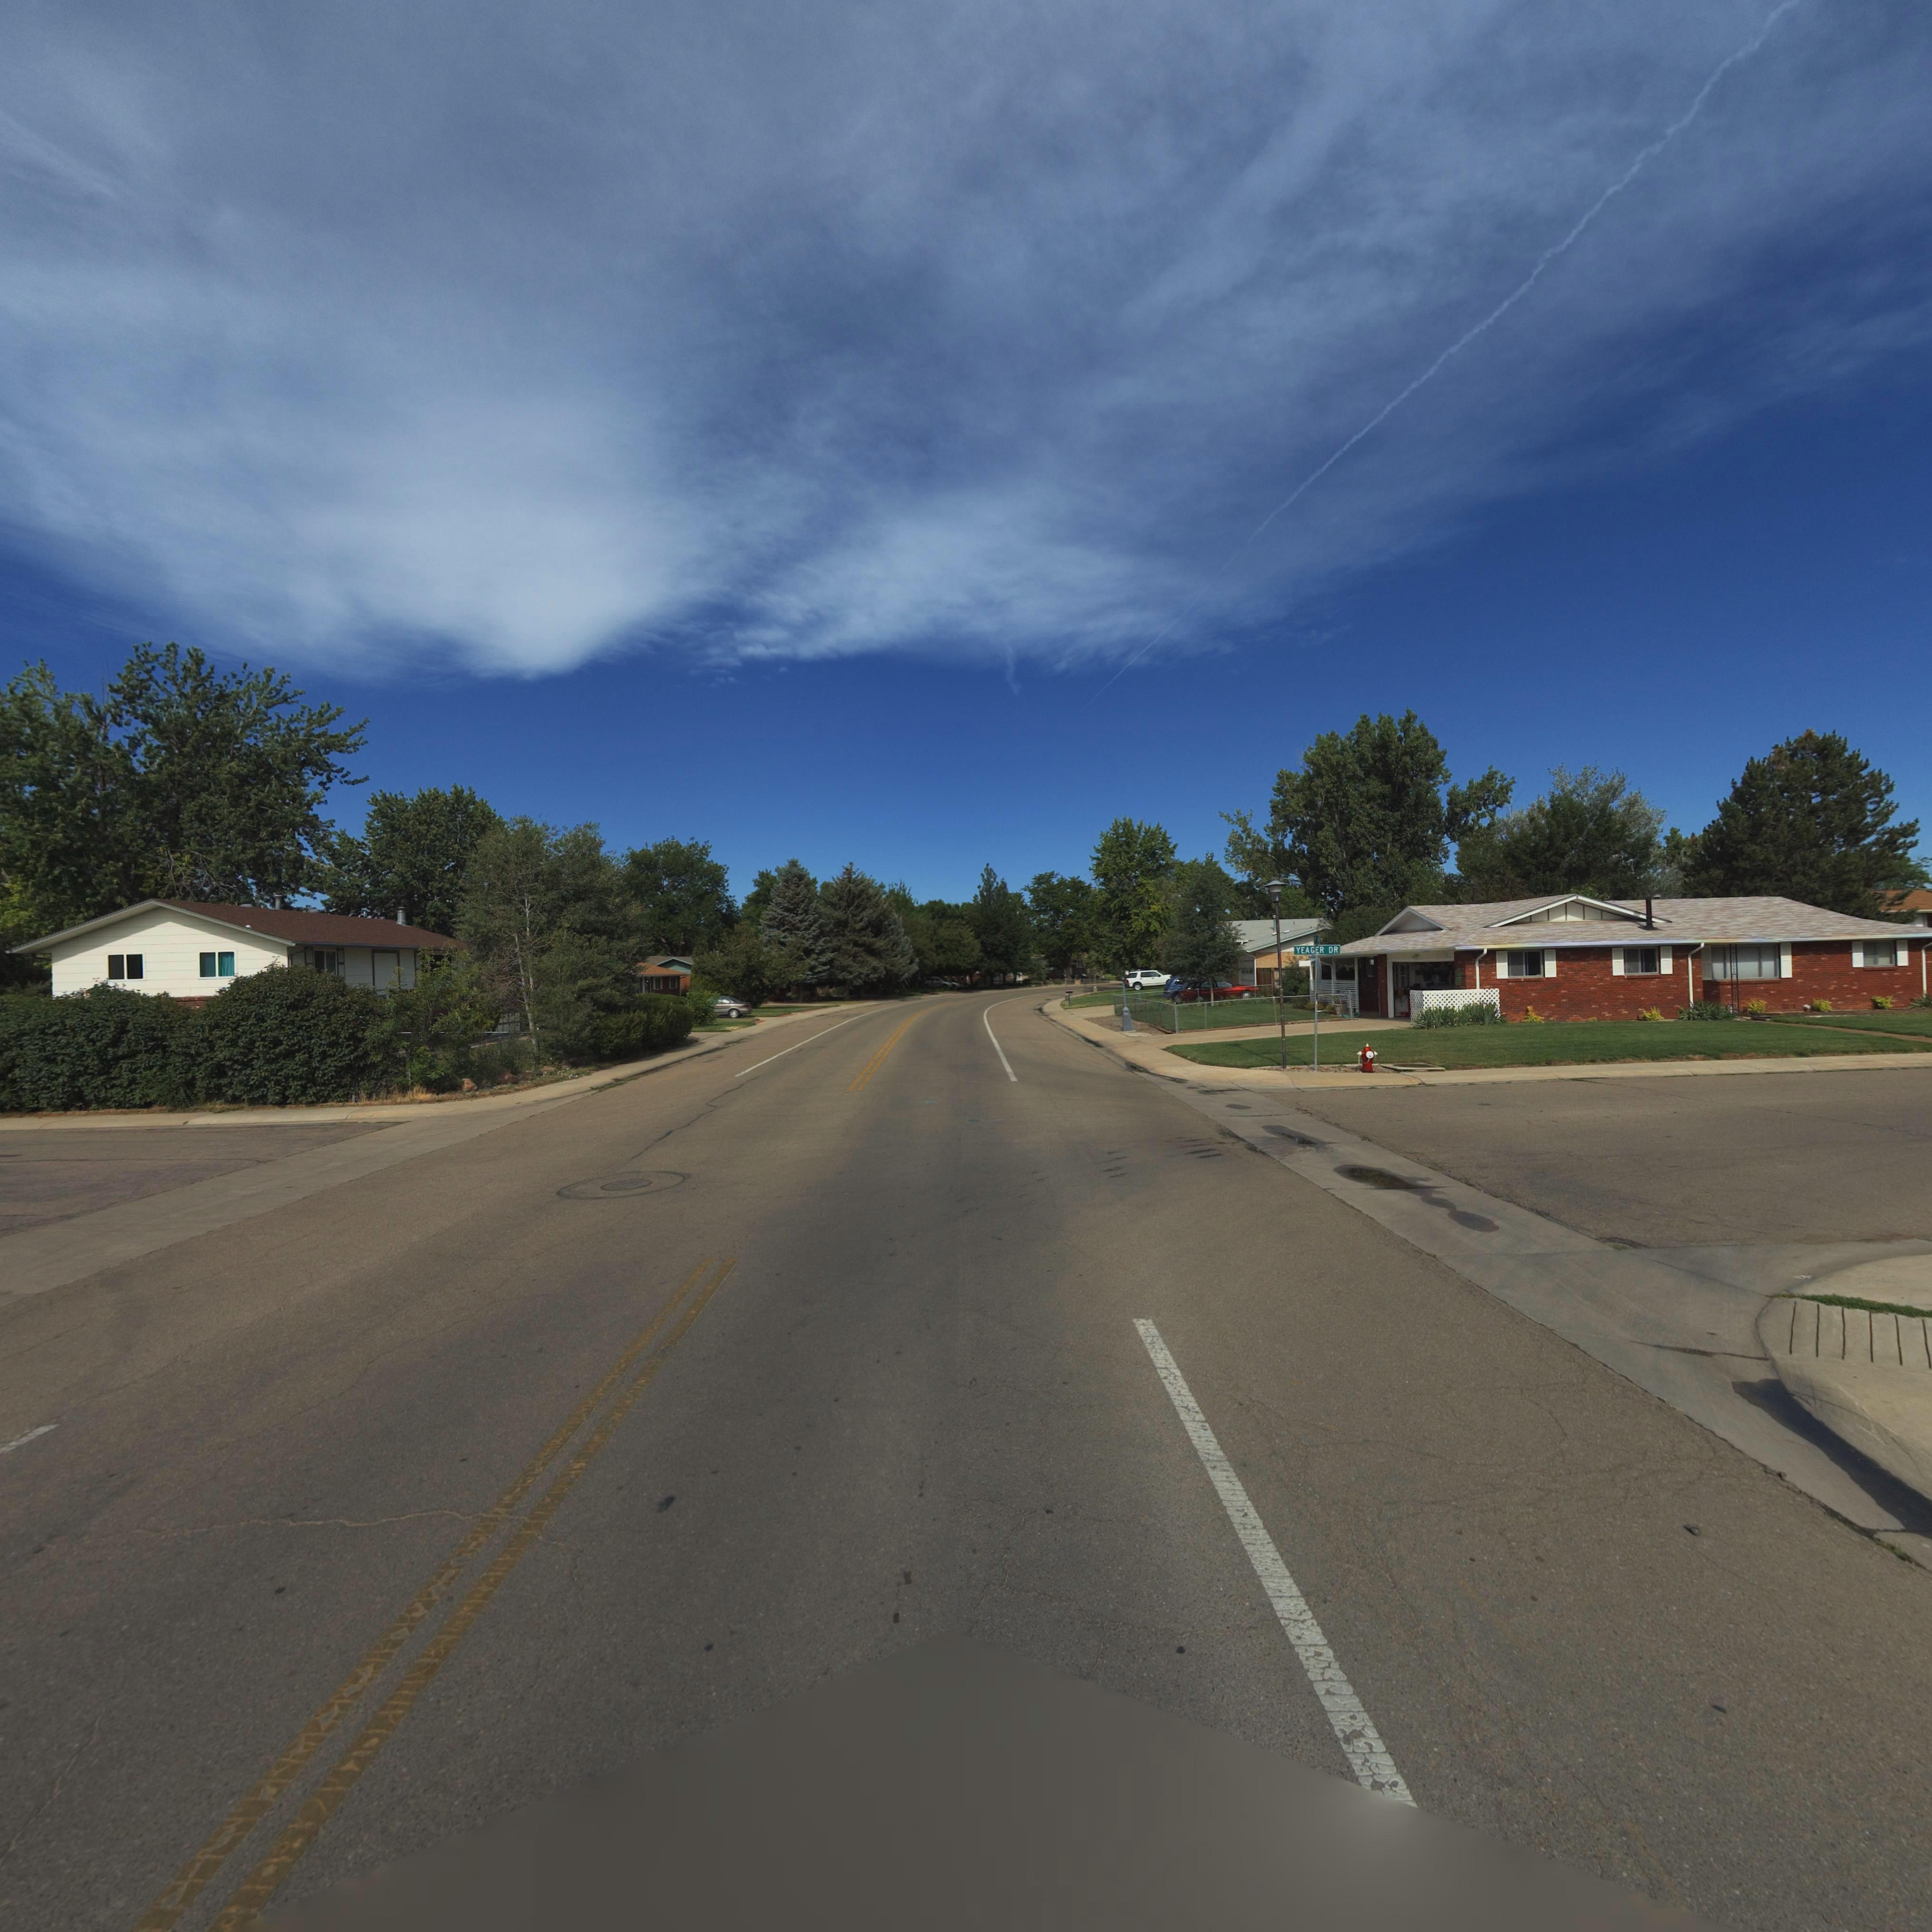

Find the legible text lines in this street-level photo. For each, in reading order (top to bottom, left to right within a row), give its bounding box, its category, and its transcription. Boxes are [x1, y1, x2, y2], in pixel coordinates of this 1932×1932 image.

[1295, 946, 1339, 953] StreetName: YEAGER DR